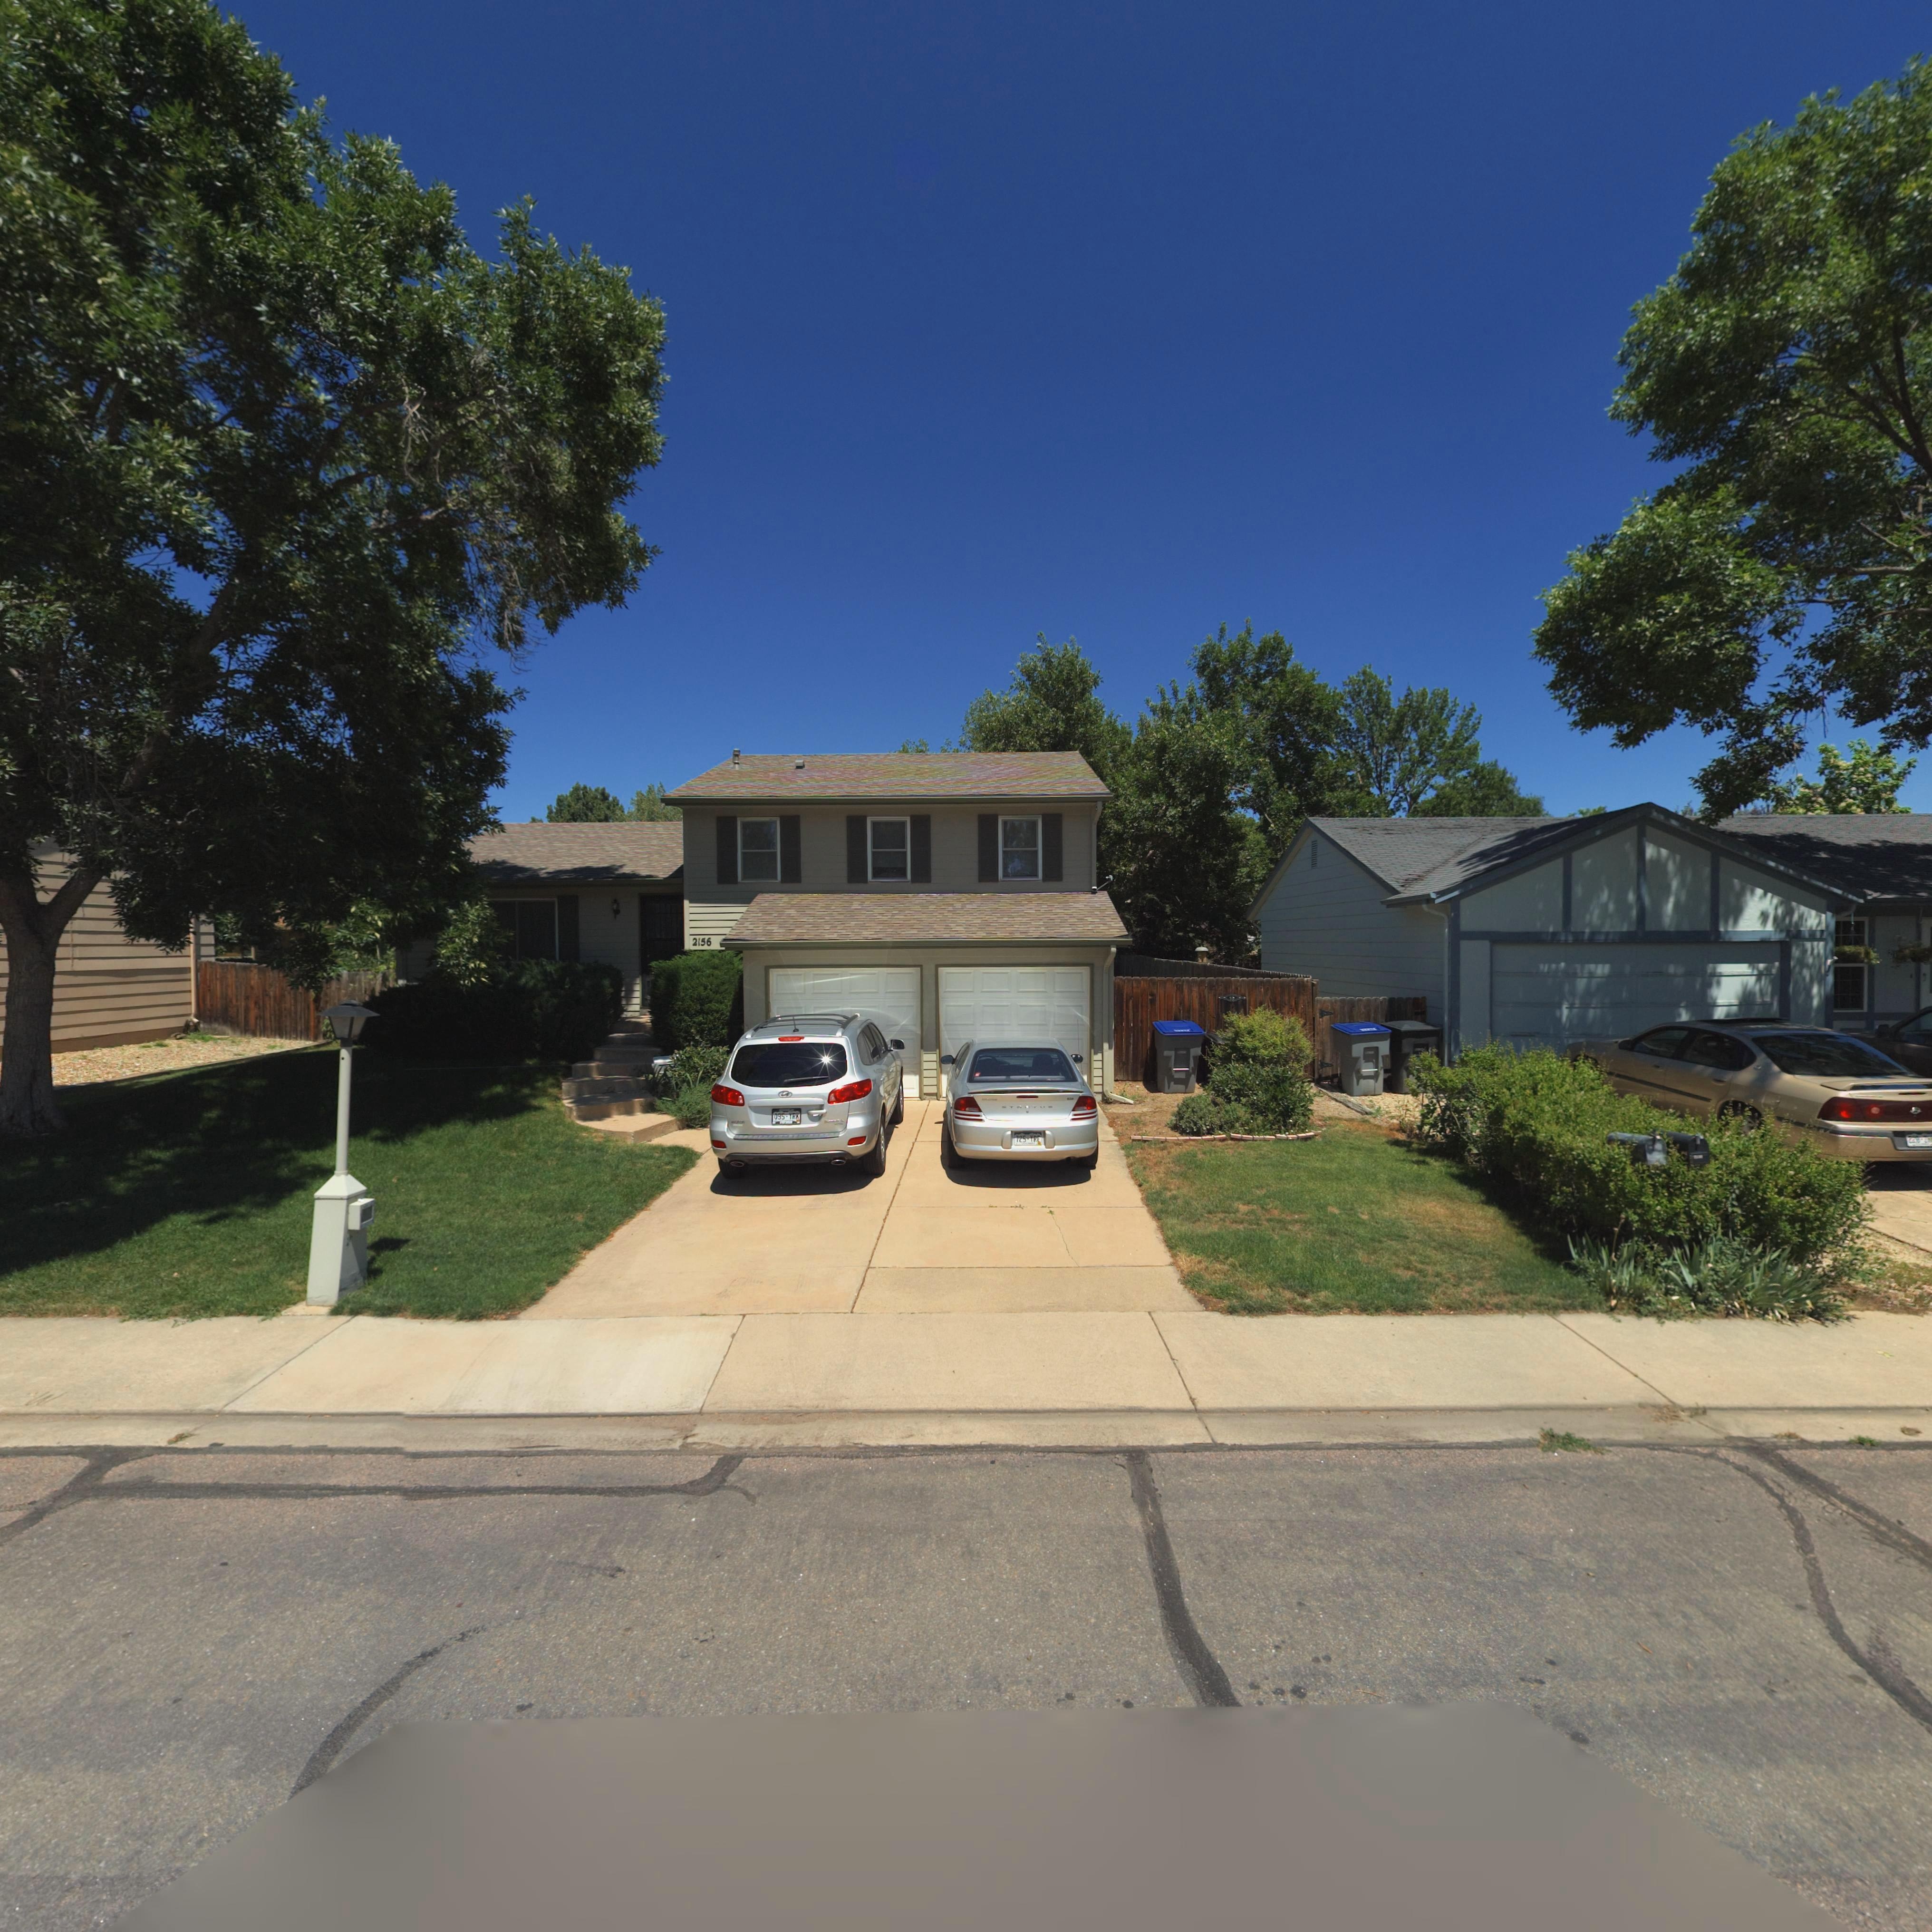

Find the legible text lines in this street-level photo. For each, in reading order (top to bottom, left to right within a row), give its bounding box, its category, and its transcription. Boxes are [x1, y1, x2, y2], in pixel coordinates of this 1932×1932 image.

[692, 937, 712, 947] StreetNumber: 2156